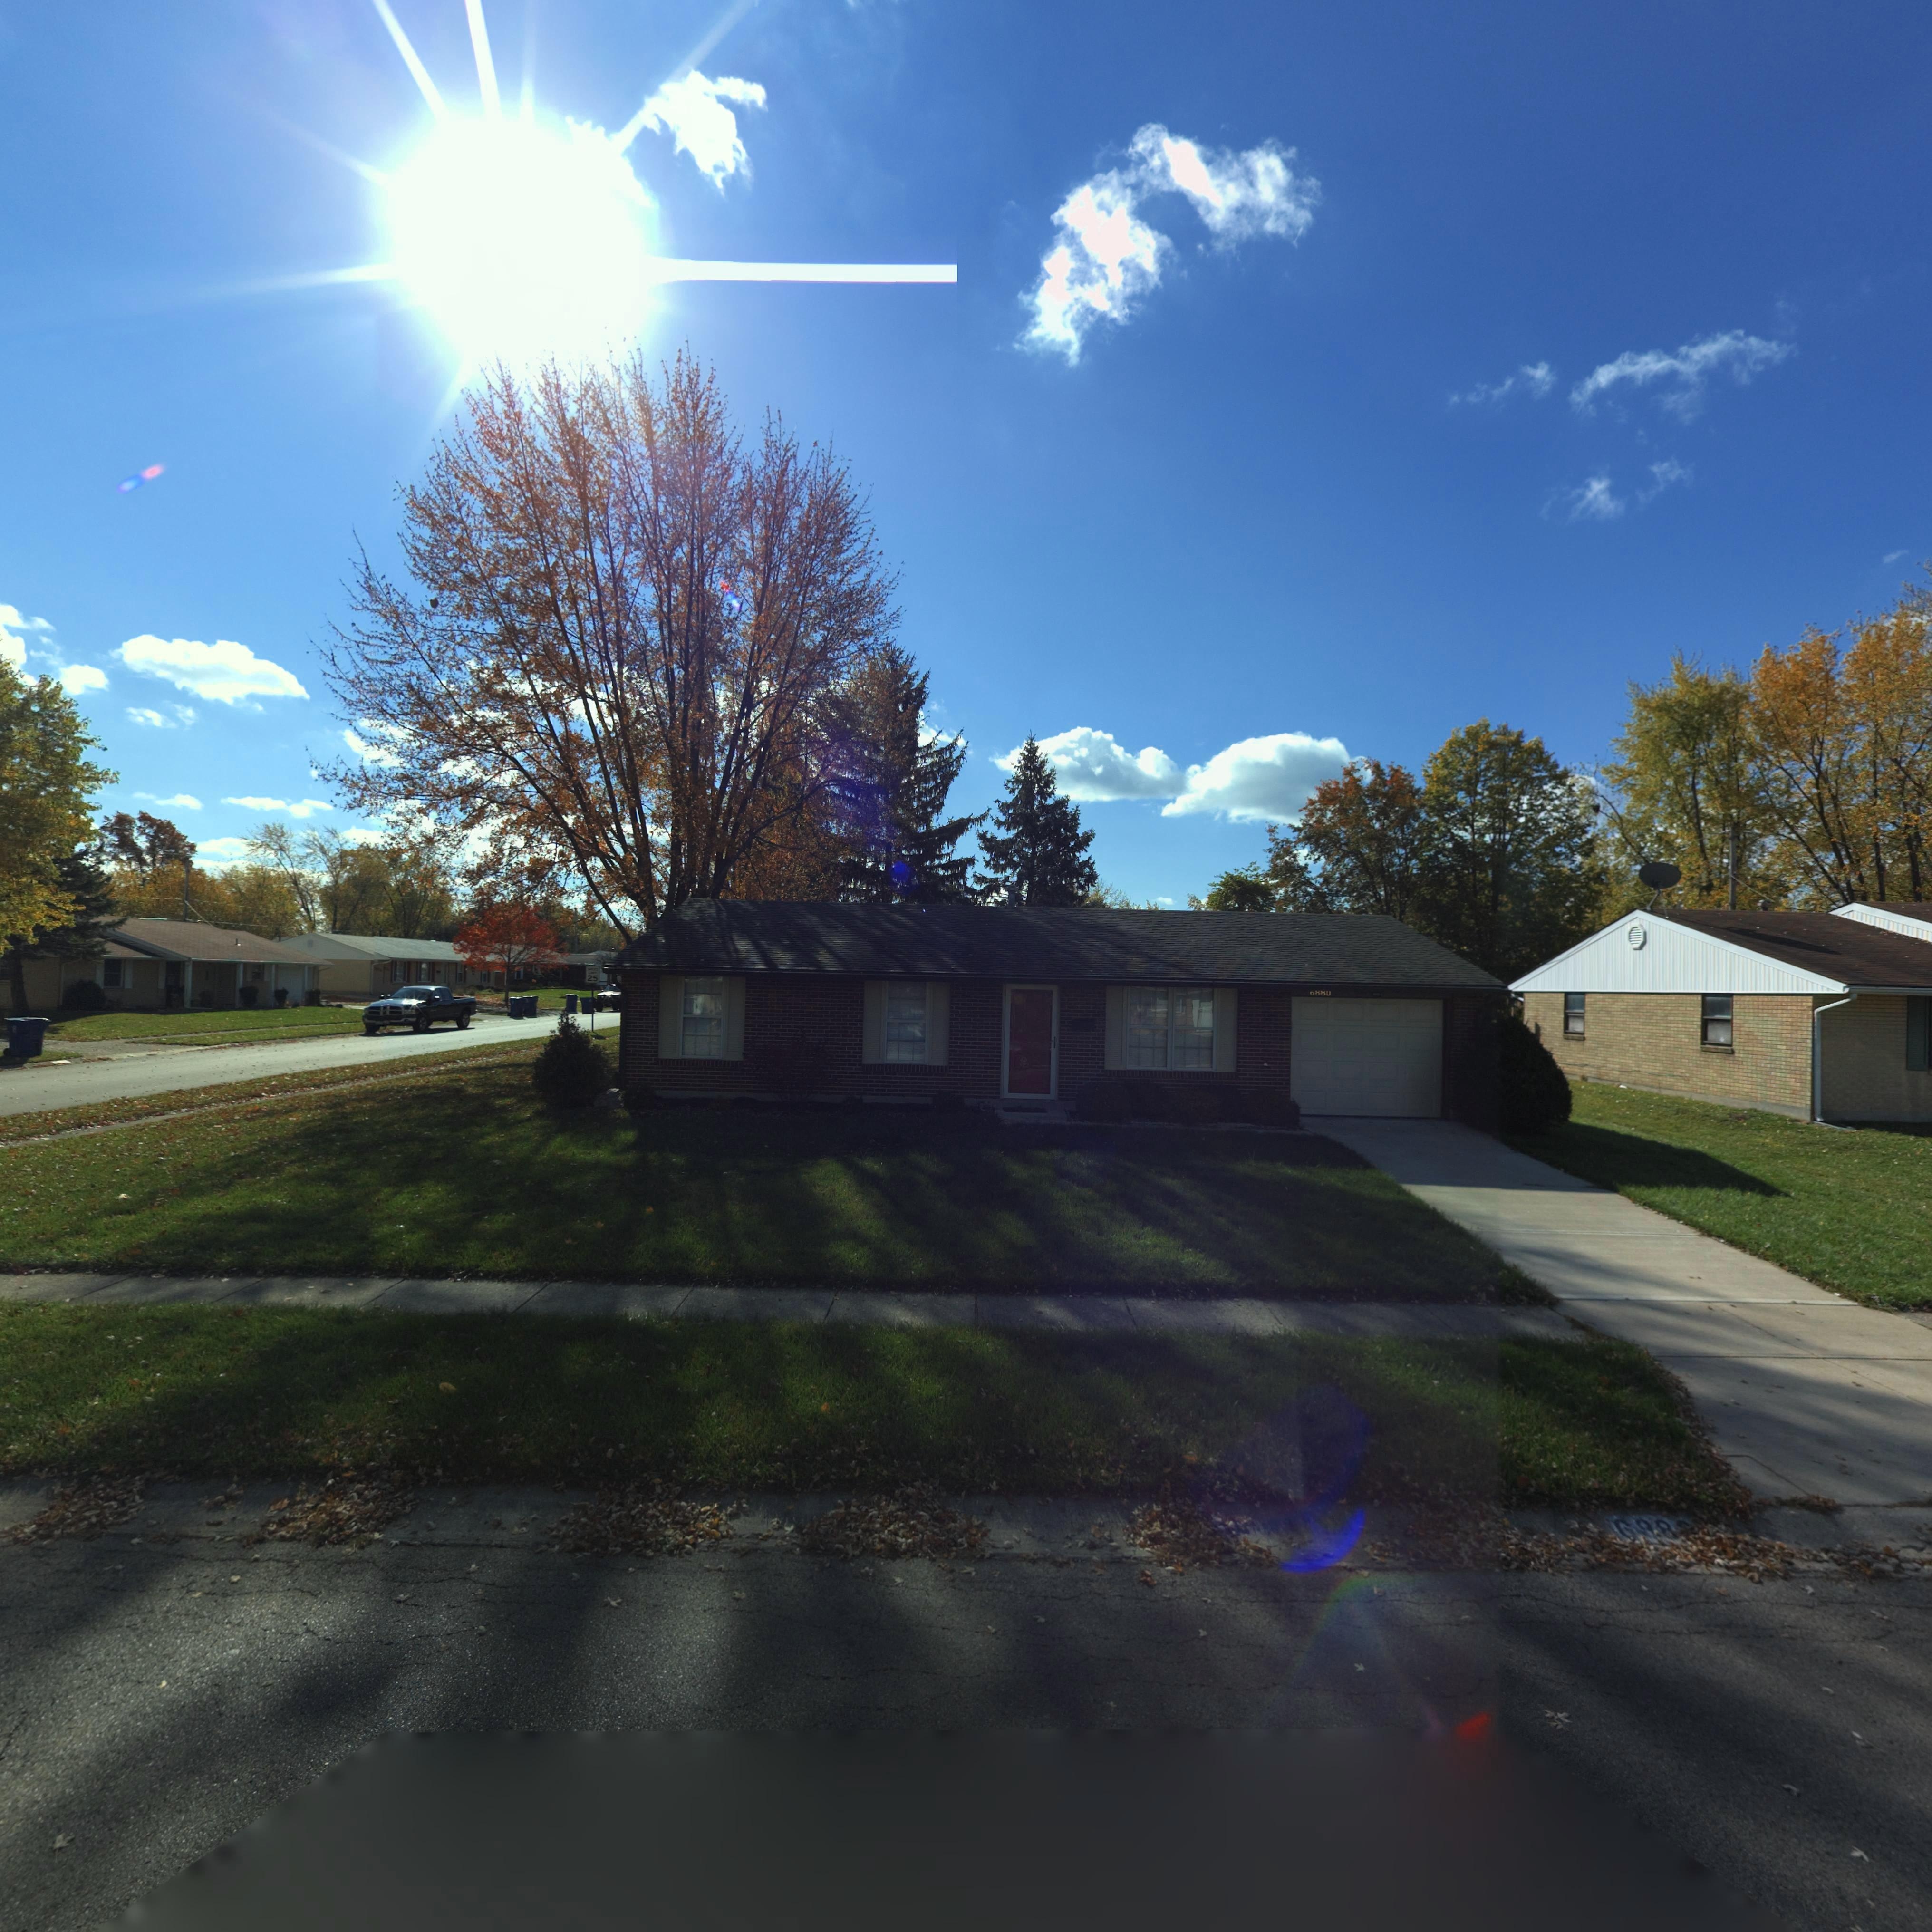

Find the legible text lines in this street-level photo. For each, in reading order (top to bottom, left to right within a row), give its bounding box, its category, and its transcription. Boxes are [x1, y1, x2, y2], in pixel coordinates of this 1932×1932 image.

[1610, 1516, 1681, 1543] StreetNumber: **8